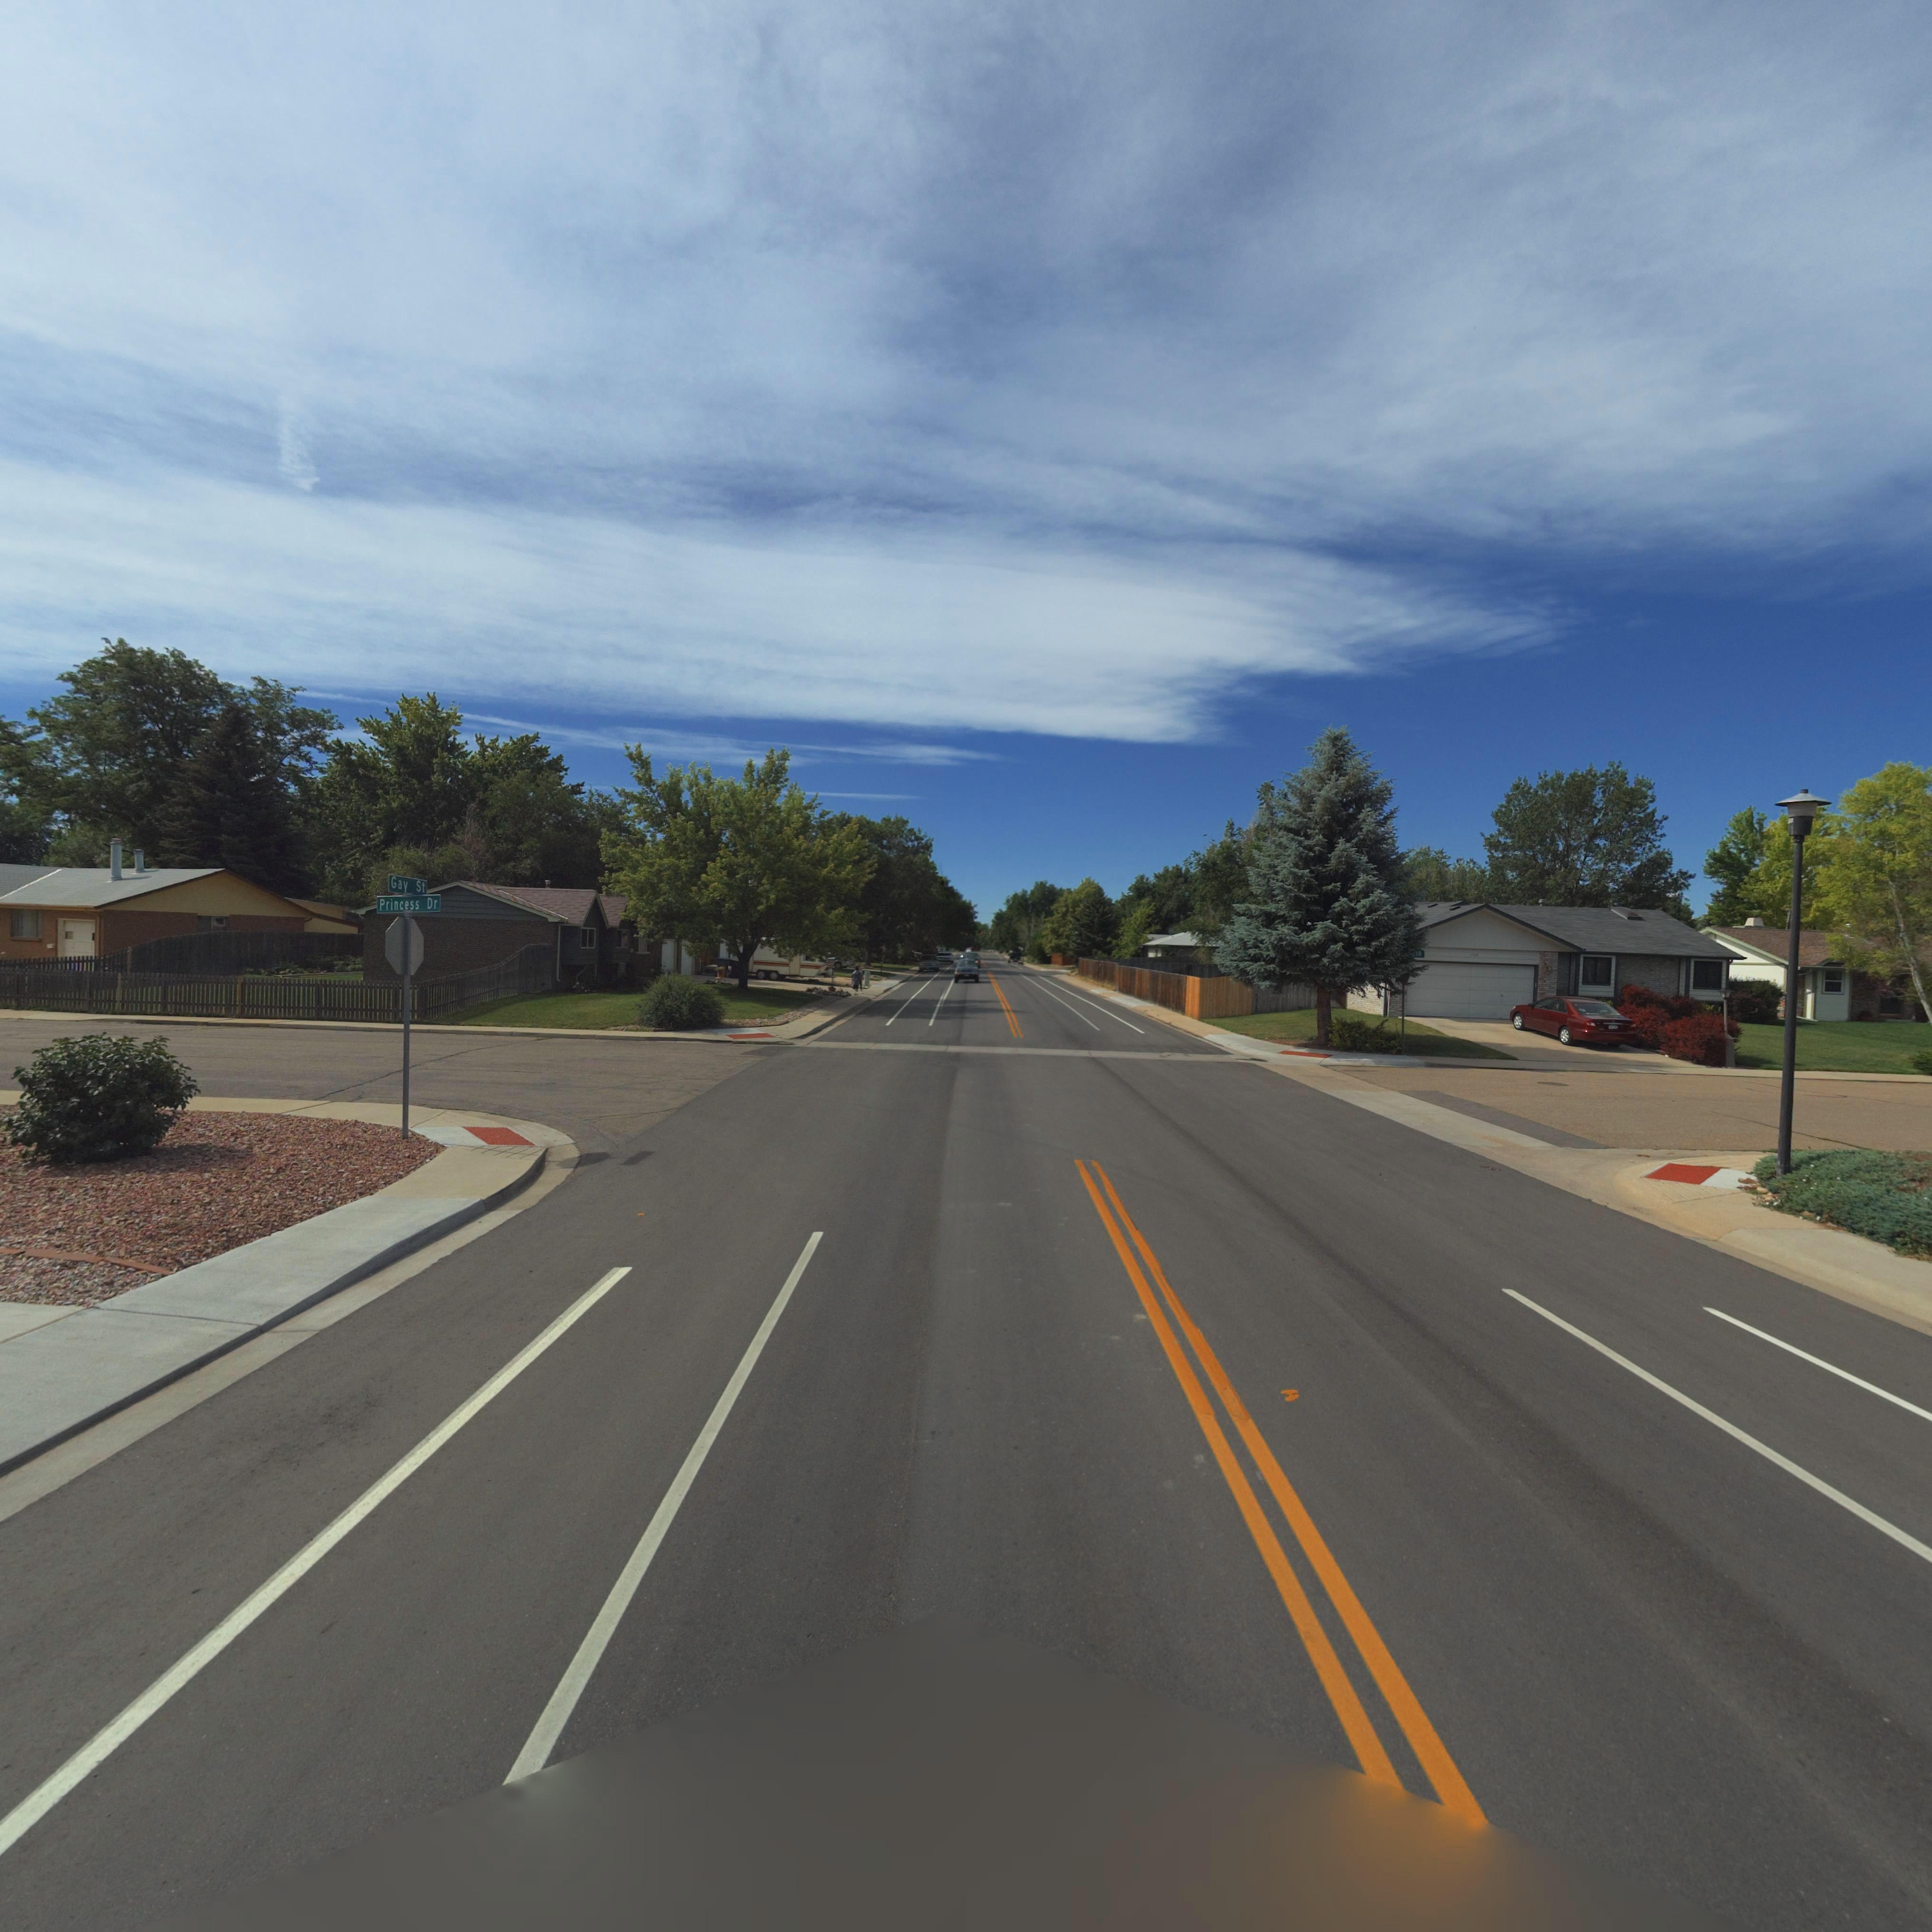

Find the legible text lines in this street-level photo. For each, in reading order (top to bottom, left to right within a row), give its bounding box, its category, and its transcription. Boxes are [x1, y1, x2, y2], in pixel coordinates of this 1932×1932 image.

[391, 876, 425, 893] StreetName: Gay St
[379, 897, 438, 910] StreetName: Princess Dr
[1415, 951, 1421, 956] StreetName: IR
[1470, 953, 1478, 956] StreetNumber: 1**8